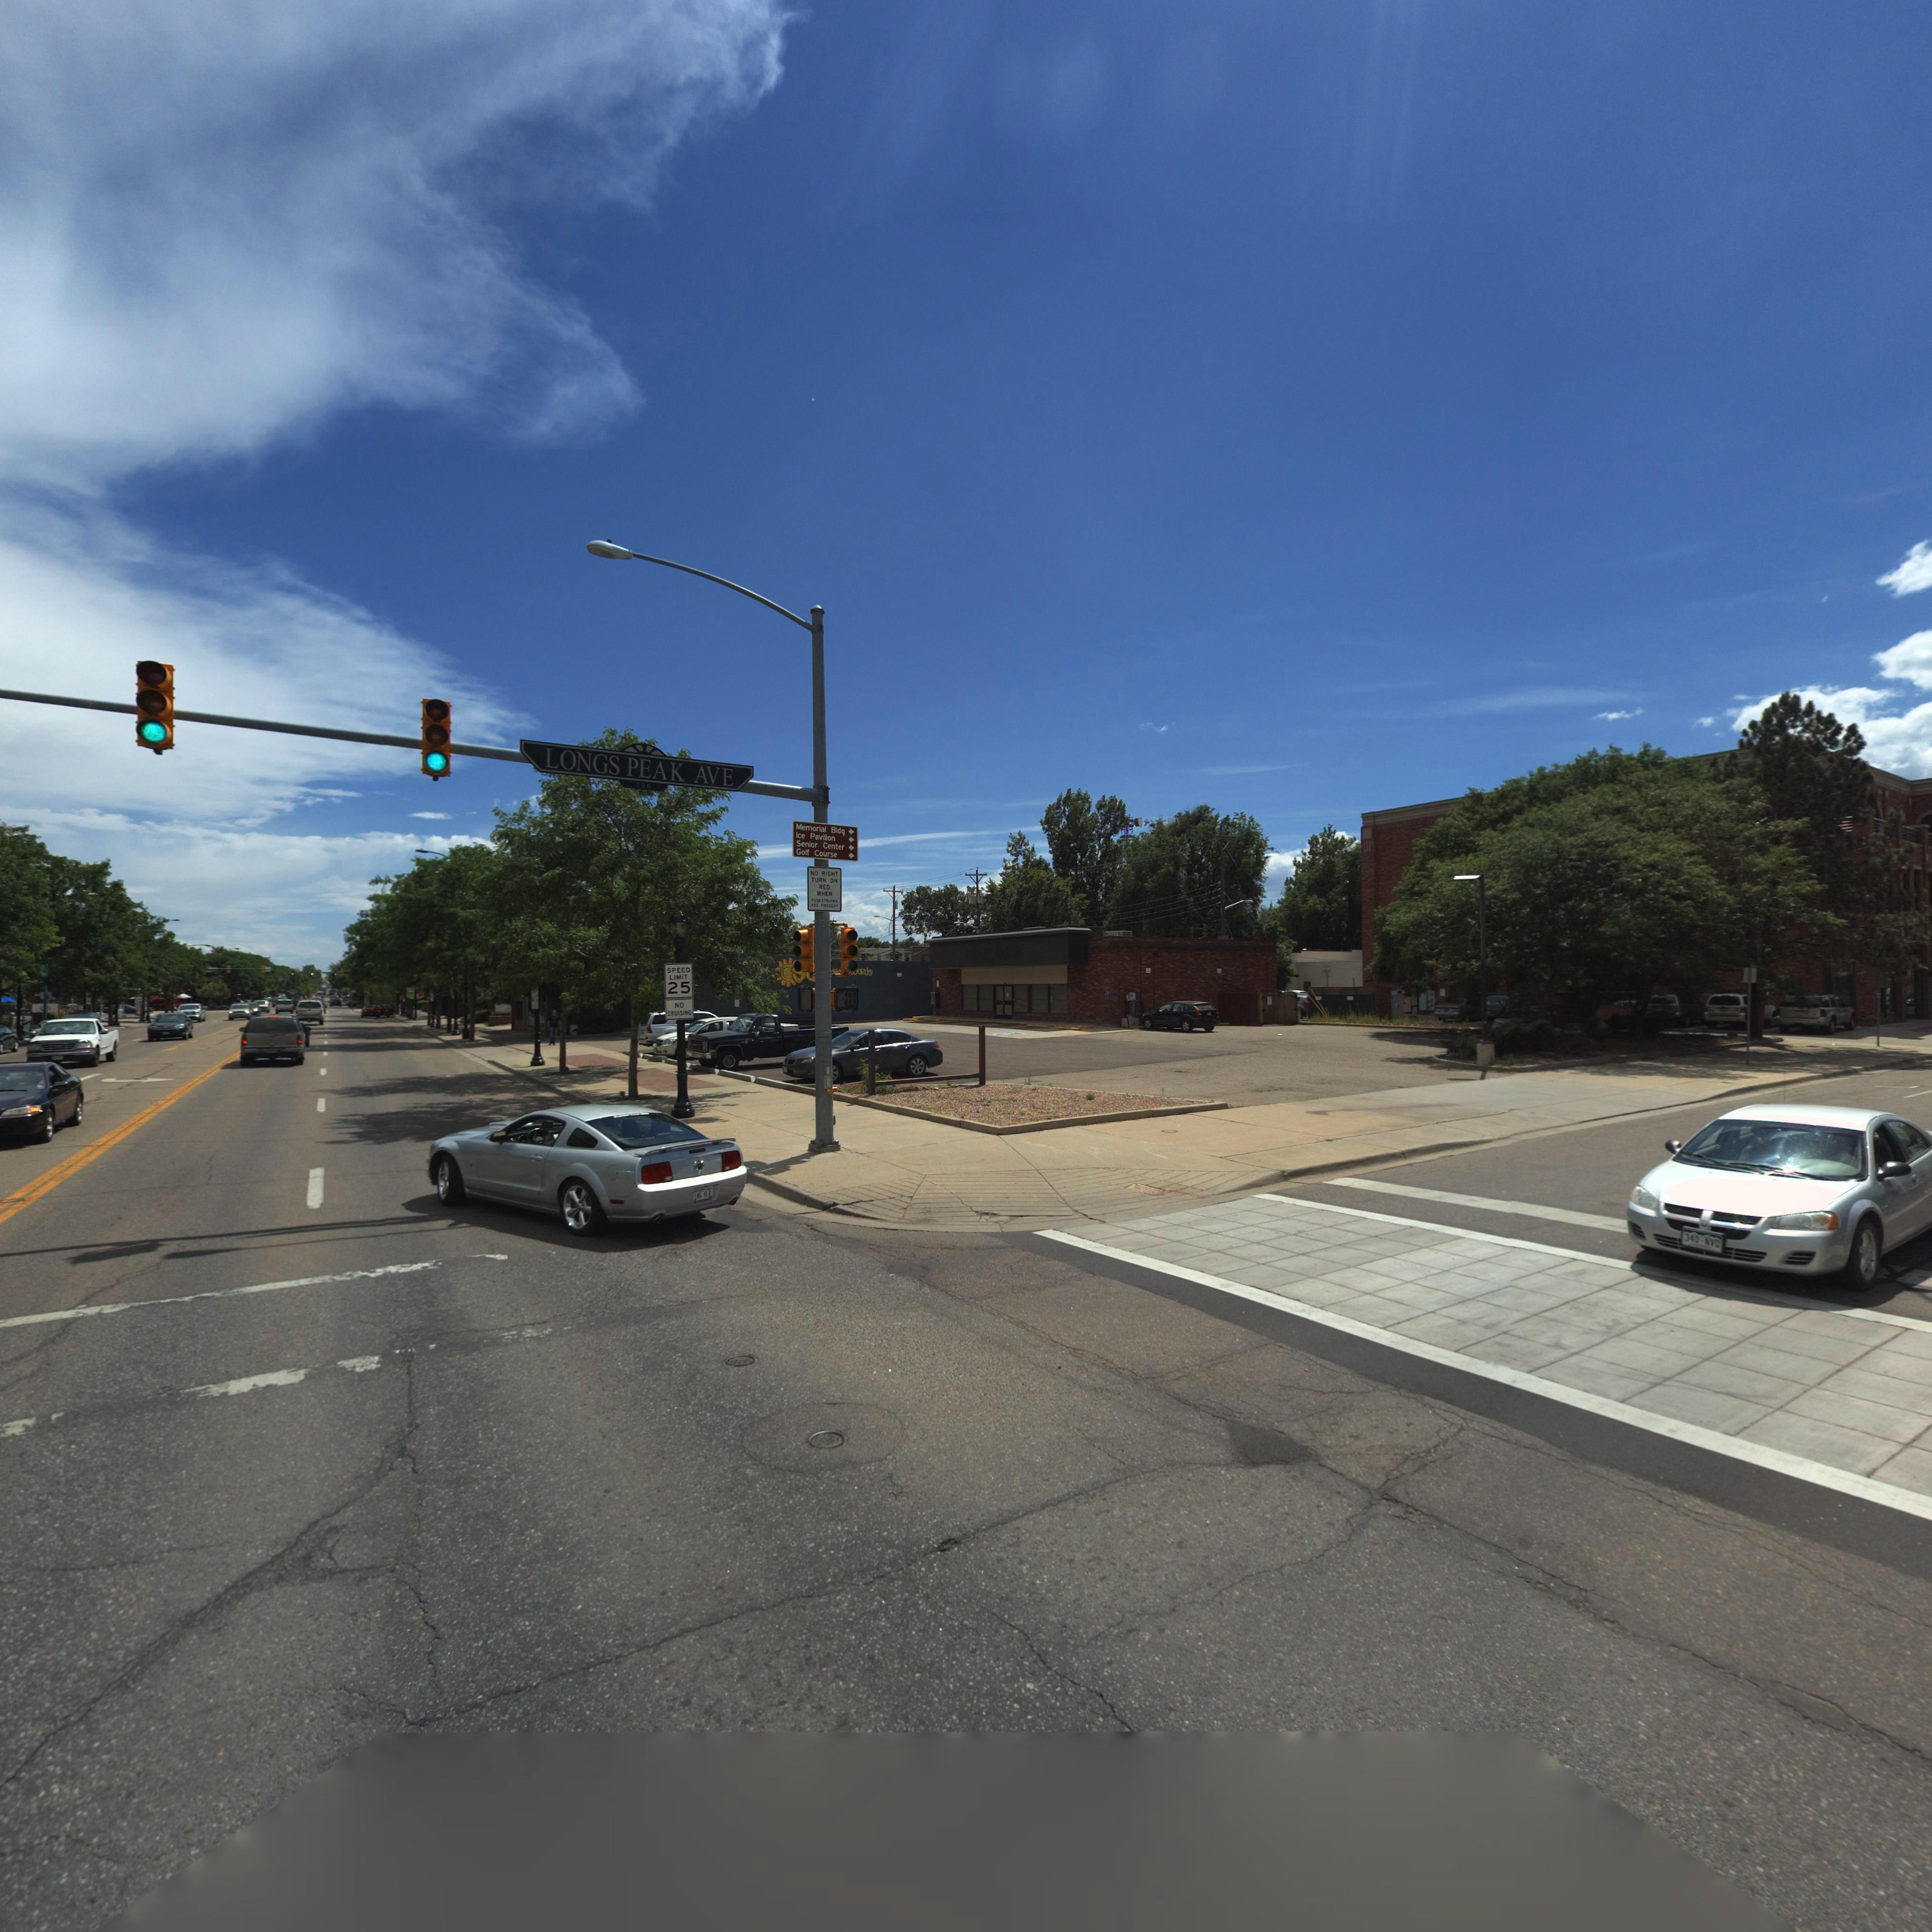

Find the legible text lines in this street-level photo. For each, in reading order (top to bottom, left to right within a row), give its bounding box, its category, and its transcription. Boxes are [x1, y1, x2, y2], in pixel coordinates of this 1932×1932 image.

[545, 747, 734, 786] StreetName: LONGS PEAK AVE
[636, 782, 651, 789] StreetNumberRange: 700
[831, 966, 873, 976] BusinessName: s*****ords